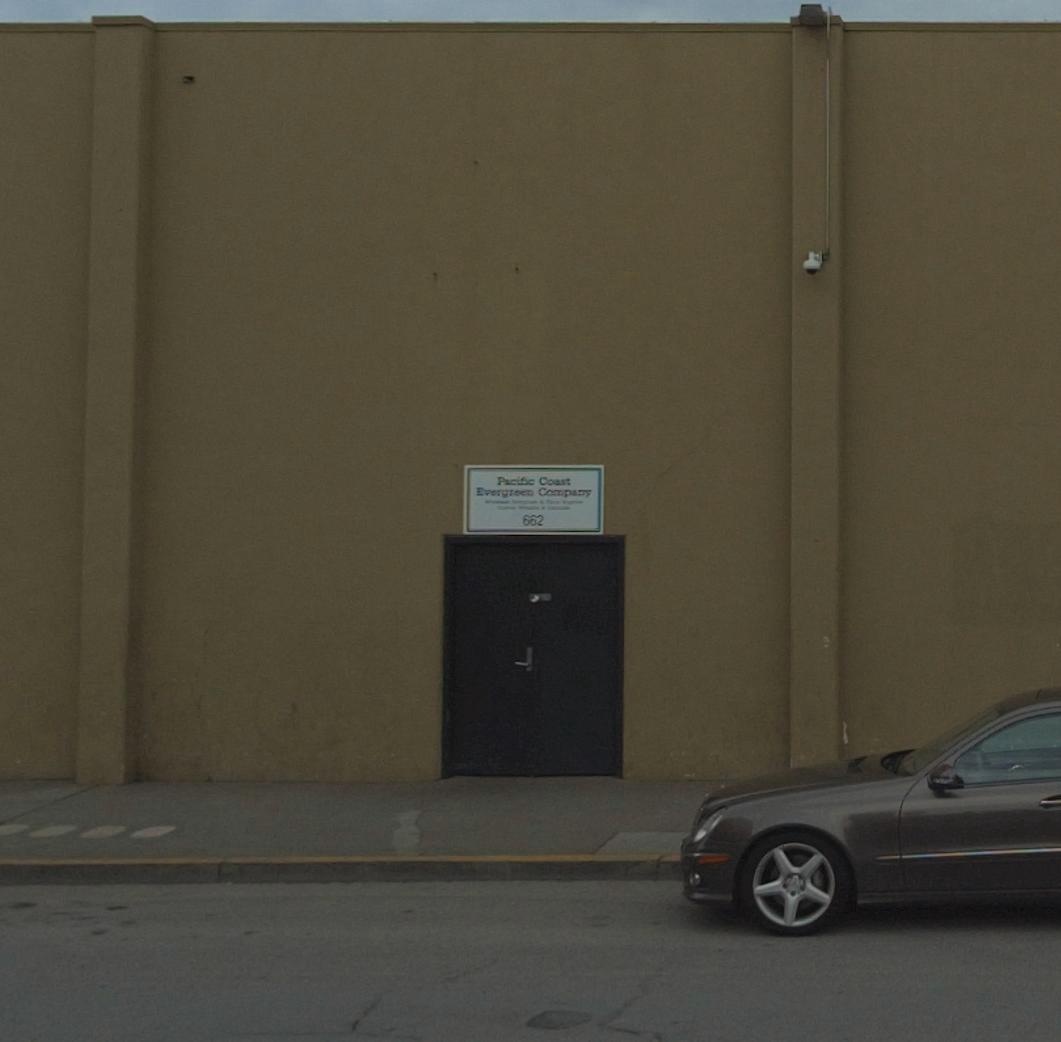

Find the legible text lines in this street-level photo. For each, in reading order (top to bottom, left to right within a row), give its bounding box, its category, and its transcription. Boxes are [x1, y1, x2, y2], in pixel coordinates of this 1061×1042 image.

[494, 475, 574, 487] BusinessName: Pacific Coast
[474, 485, 594, 500] BusinessName: Evergreen Company
[521, 513, 546, 528] StreetNumber: 662